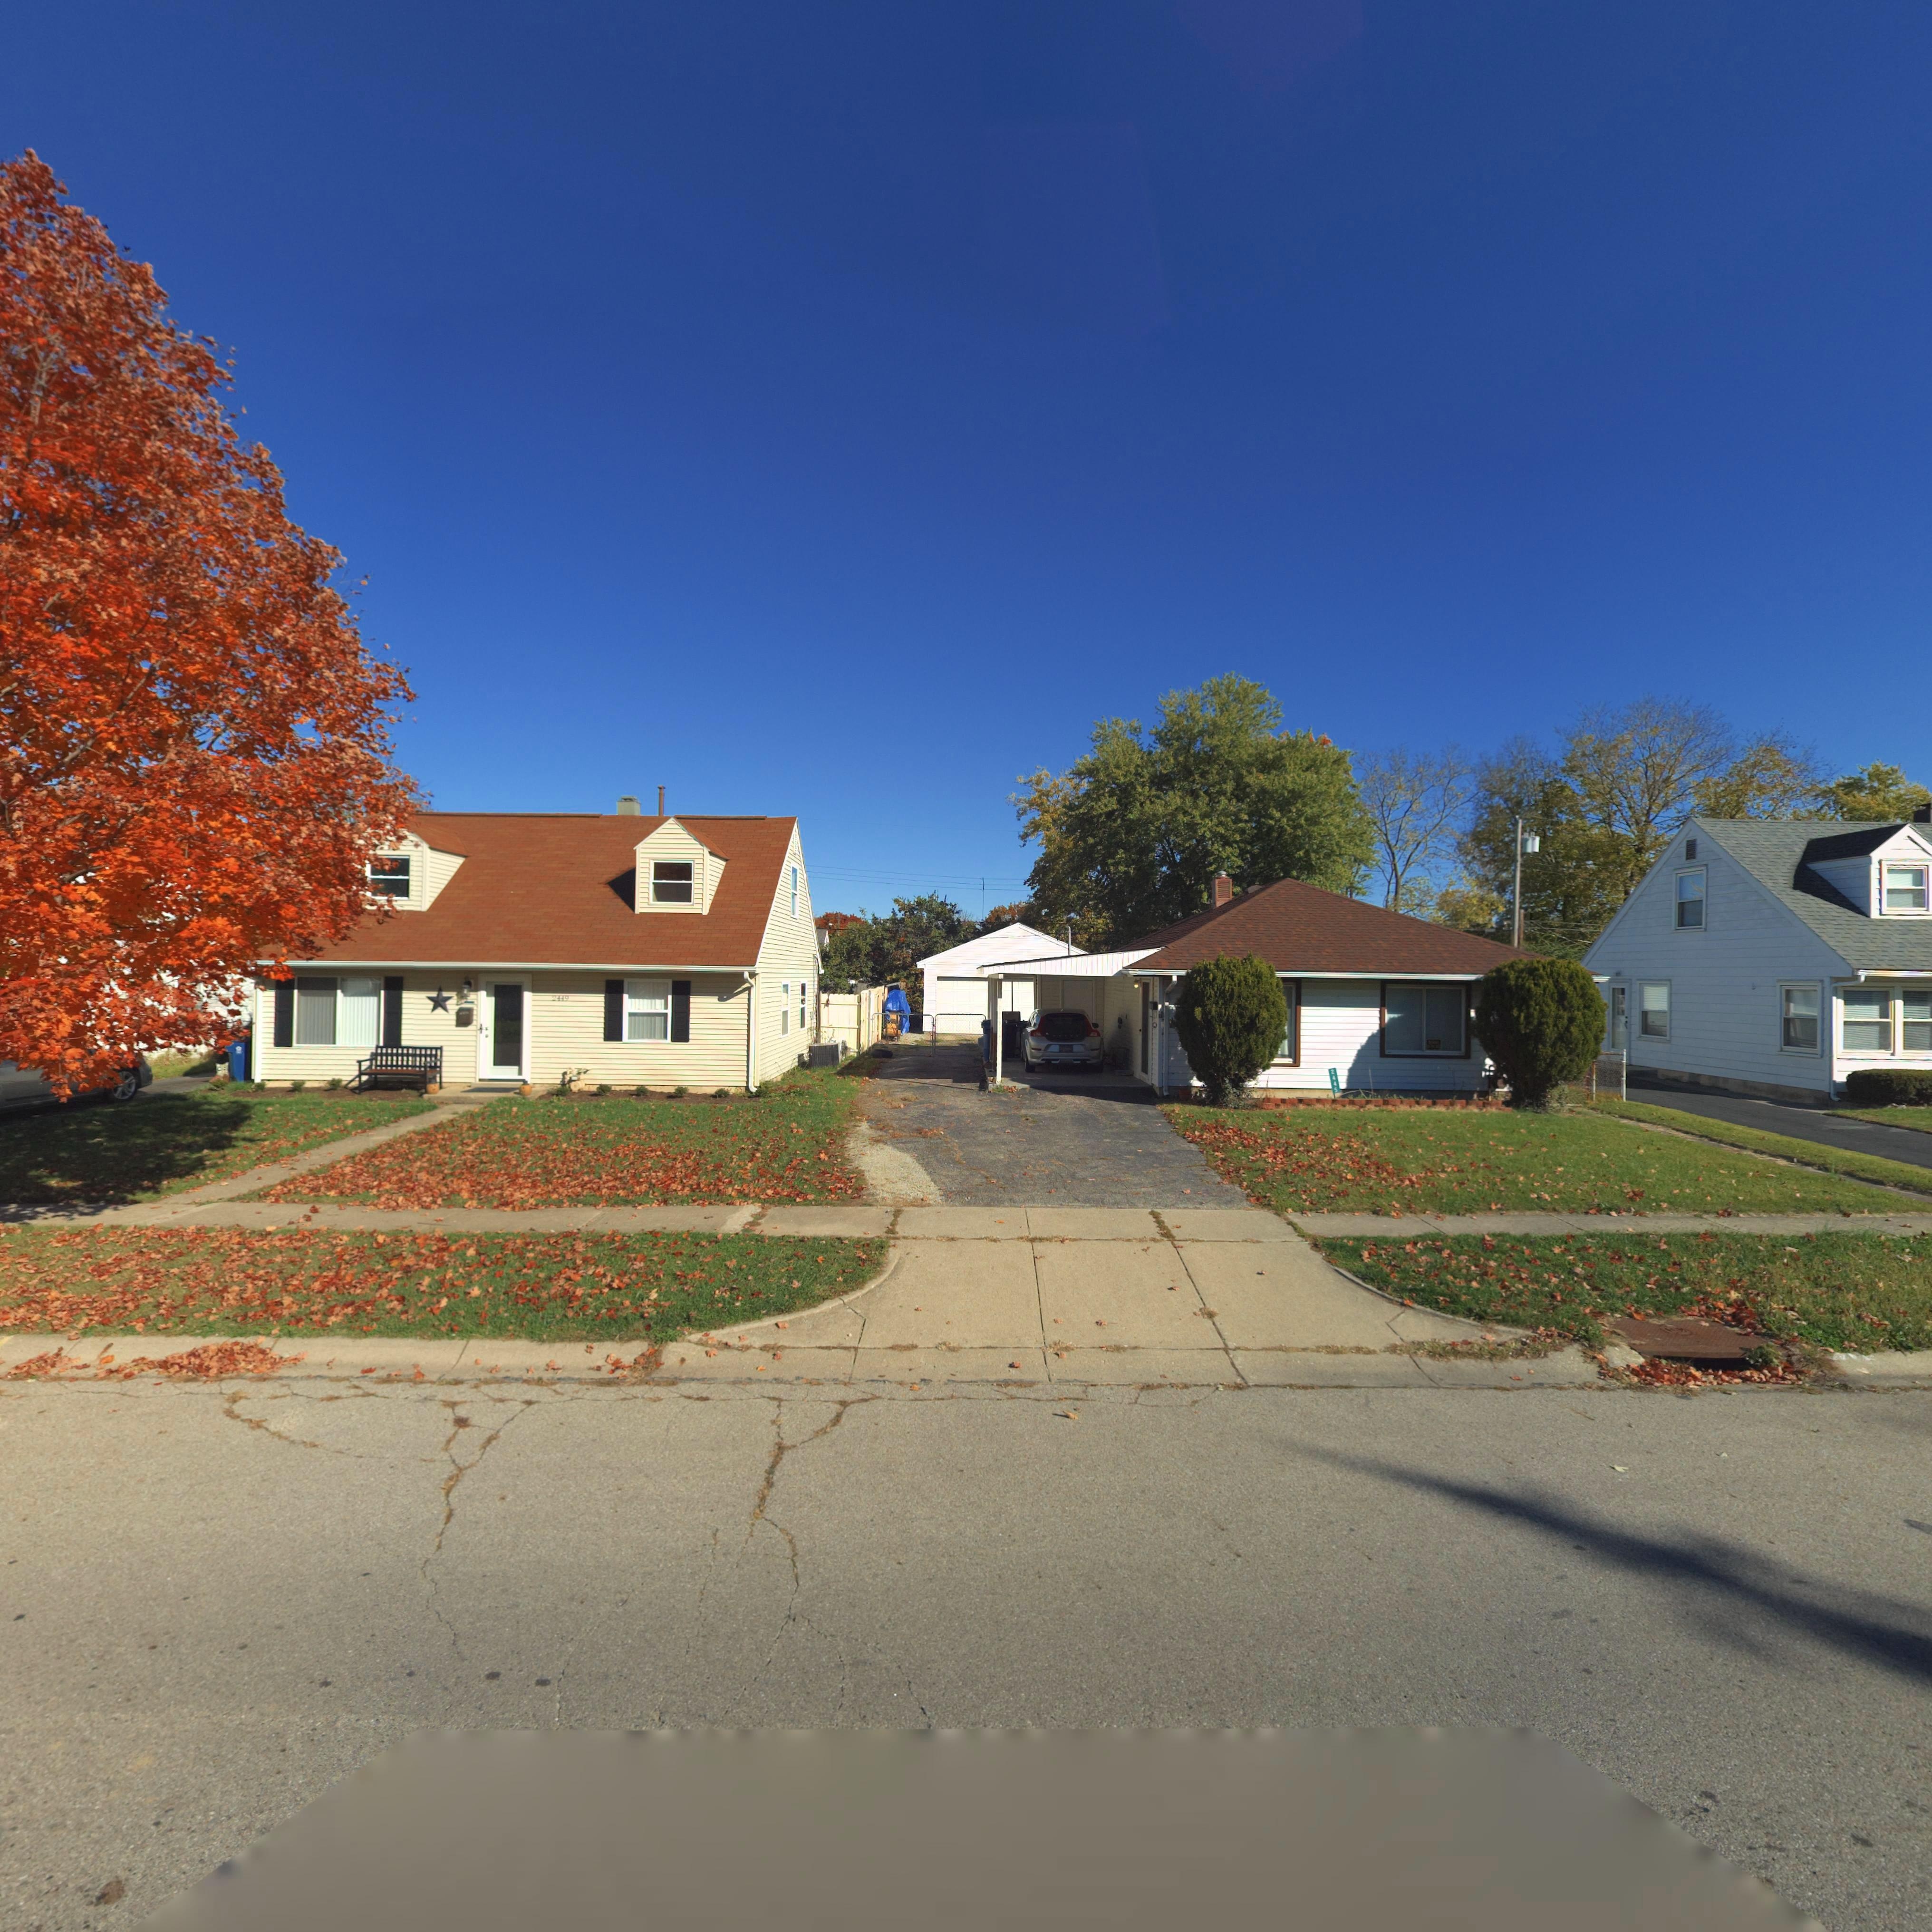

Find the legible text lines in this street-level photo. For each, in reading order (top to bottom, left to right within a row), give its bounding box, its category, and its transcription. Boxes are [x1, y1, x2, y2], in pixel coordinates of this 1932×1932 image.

[551, 994, 570, 1003] StreetNumber: 2449
[1329, 1068, 1340, 1093] StreetNumber: 2445